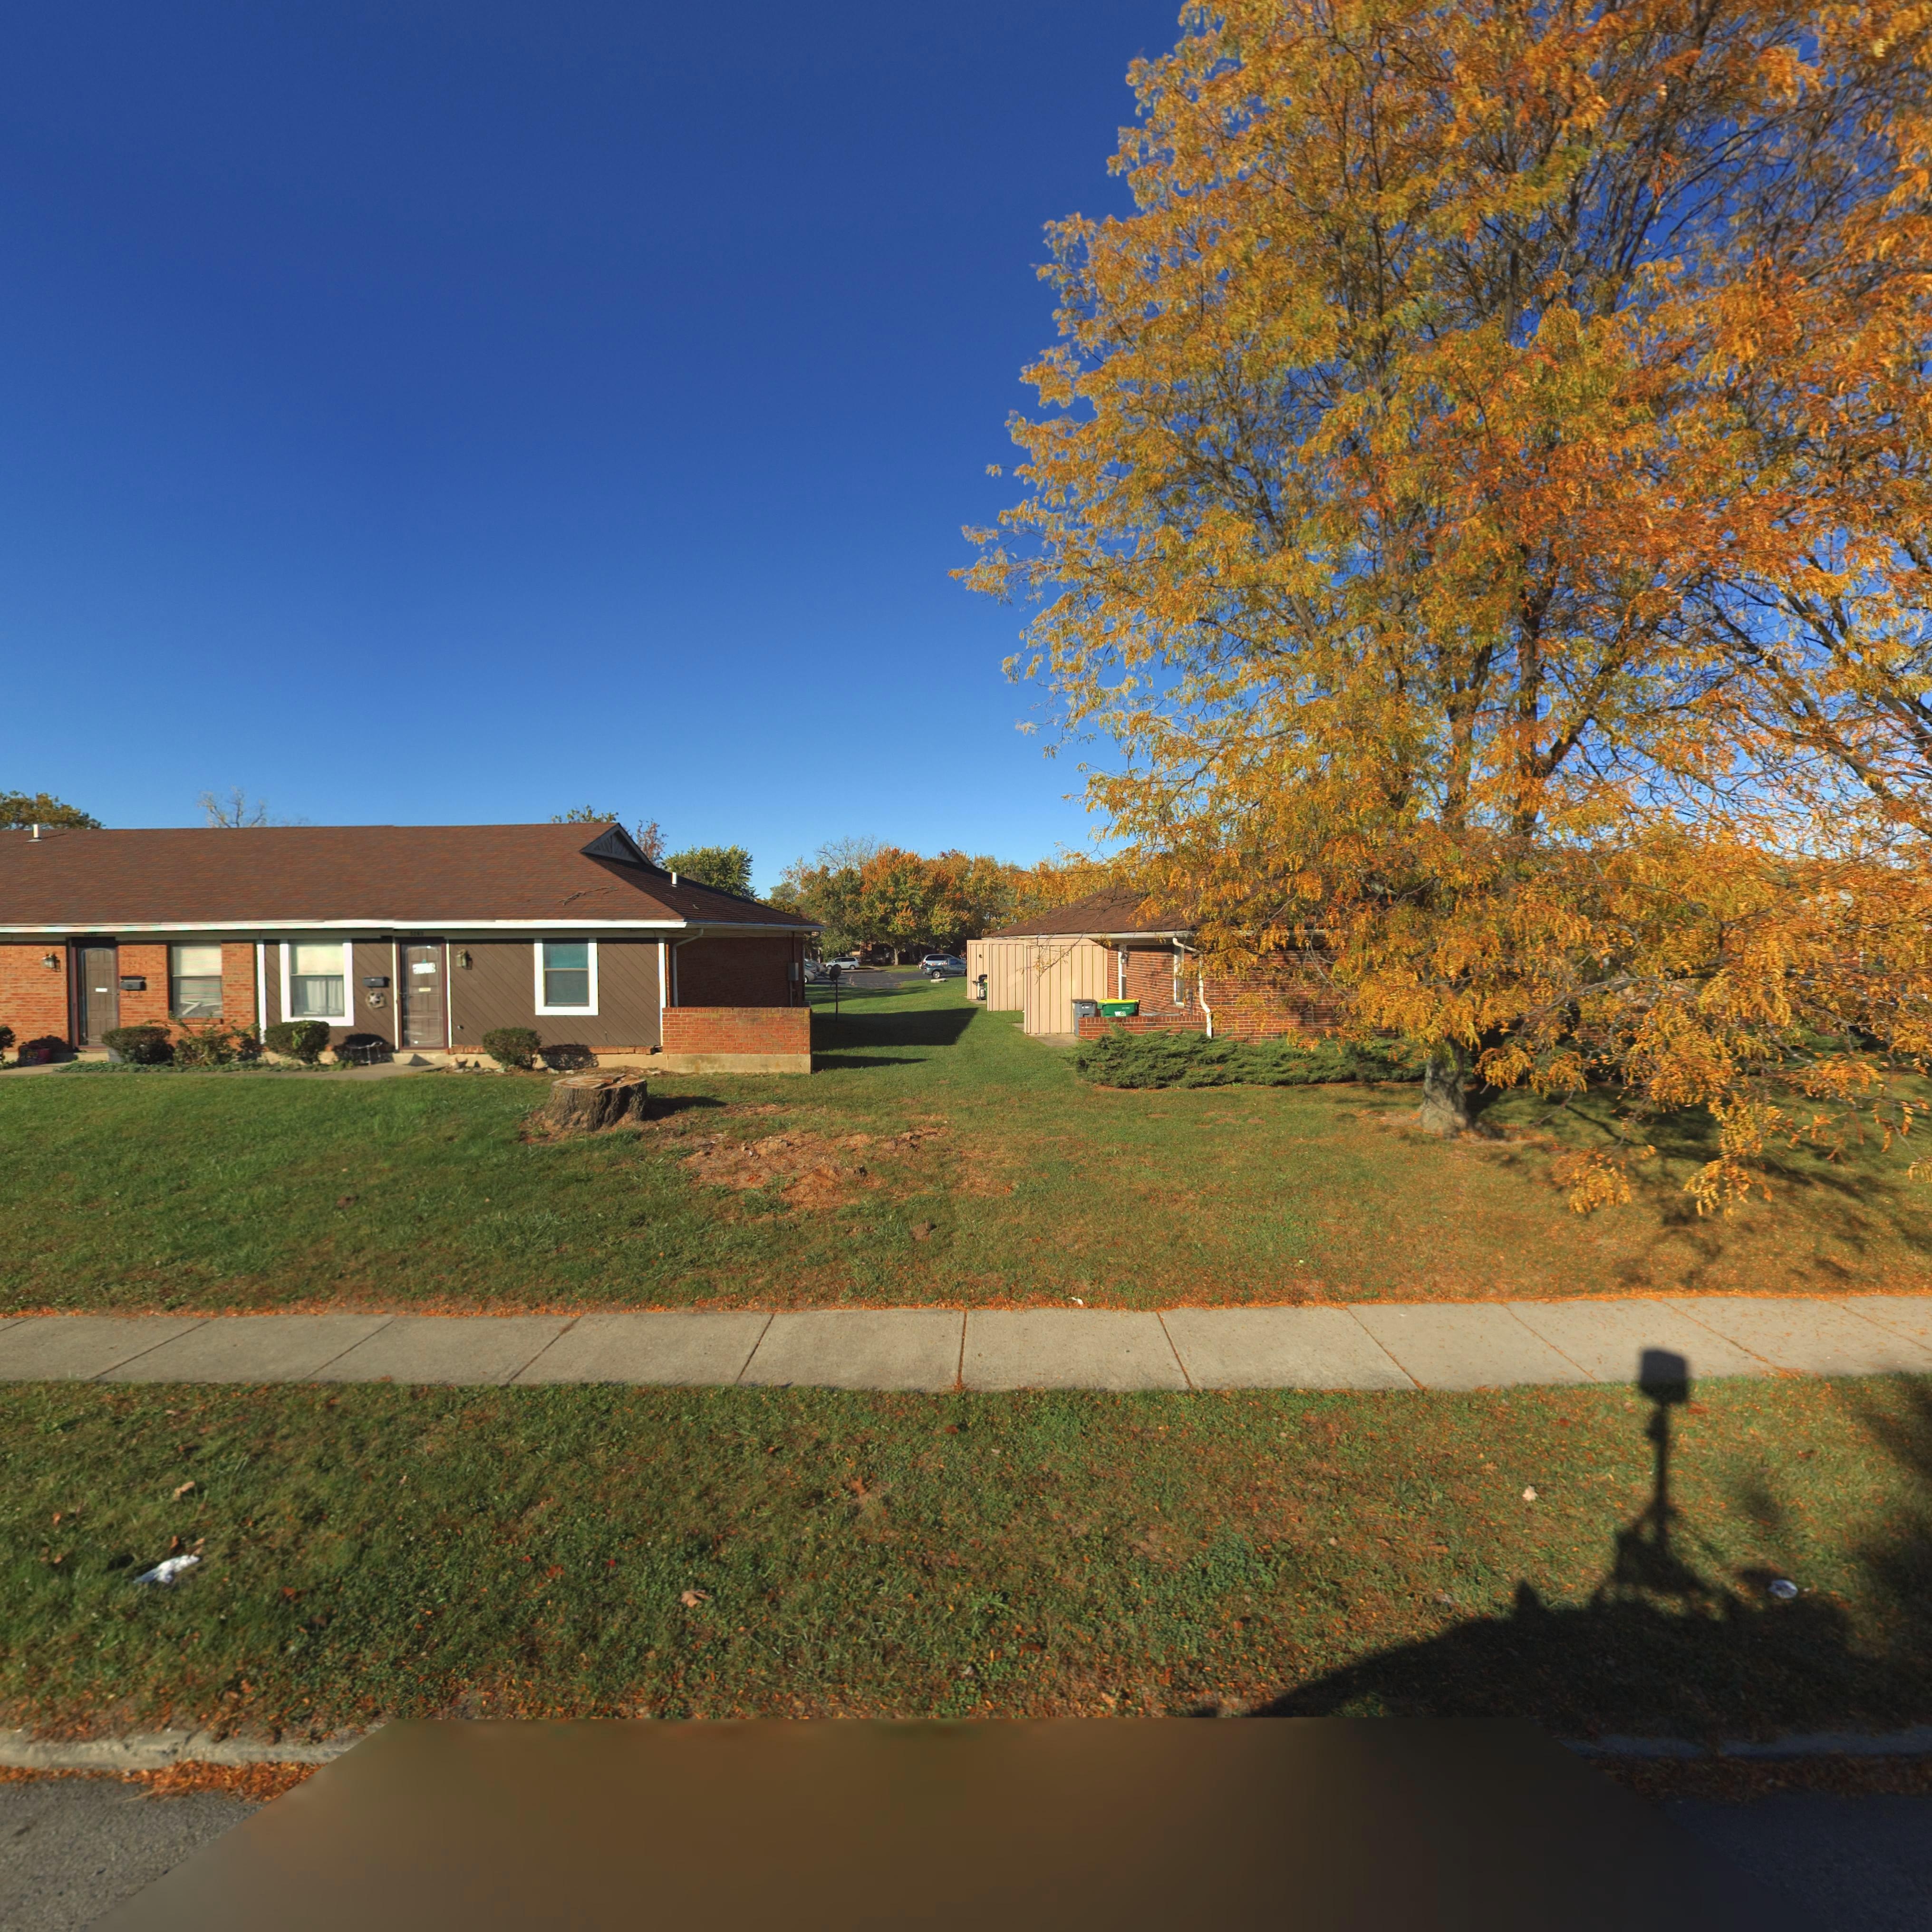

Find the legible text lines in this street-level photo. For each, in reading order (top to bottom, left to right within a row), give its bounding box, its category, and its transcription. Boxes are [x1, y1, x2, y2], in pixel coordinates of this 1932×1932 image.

[82, 932, 97, 937] StreetNumber: 5285
[408, 930, 424, 936] StreetNumber: 5283